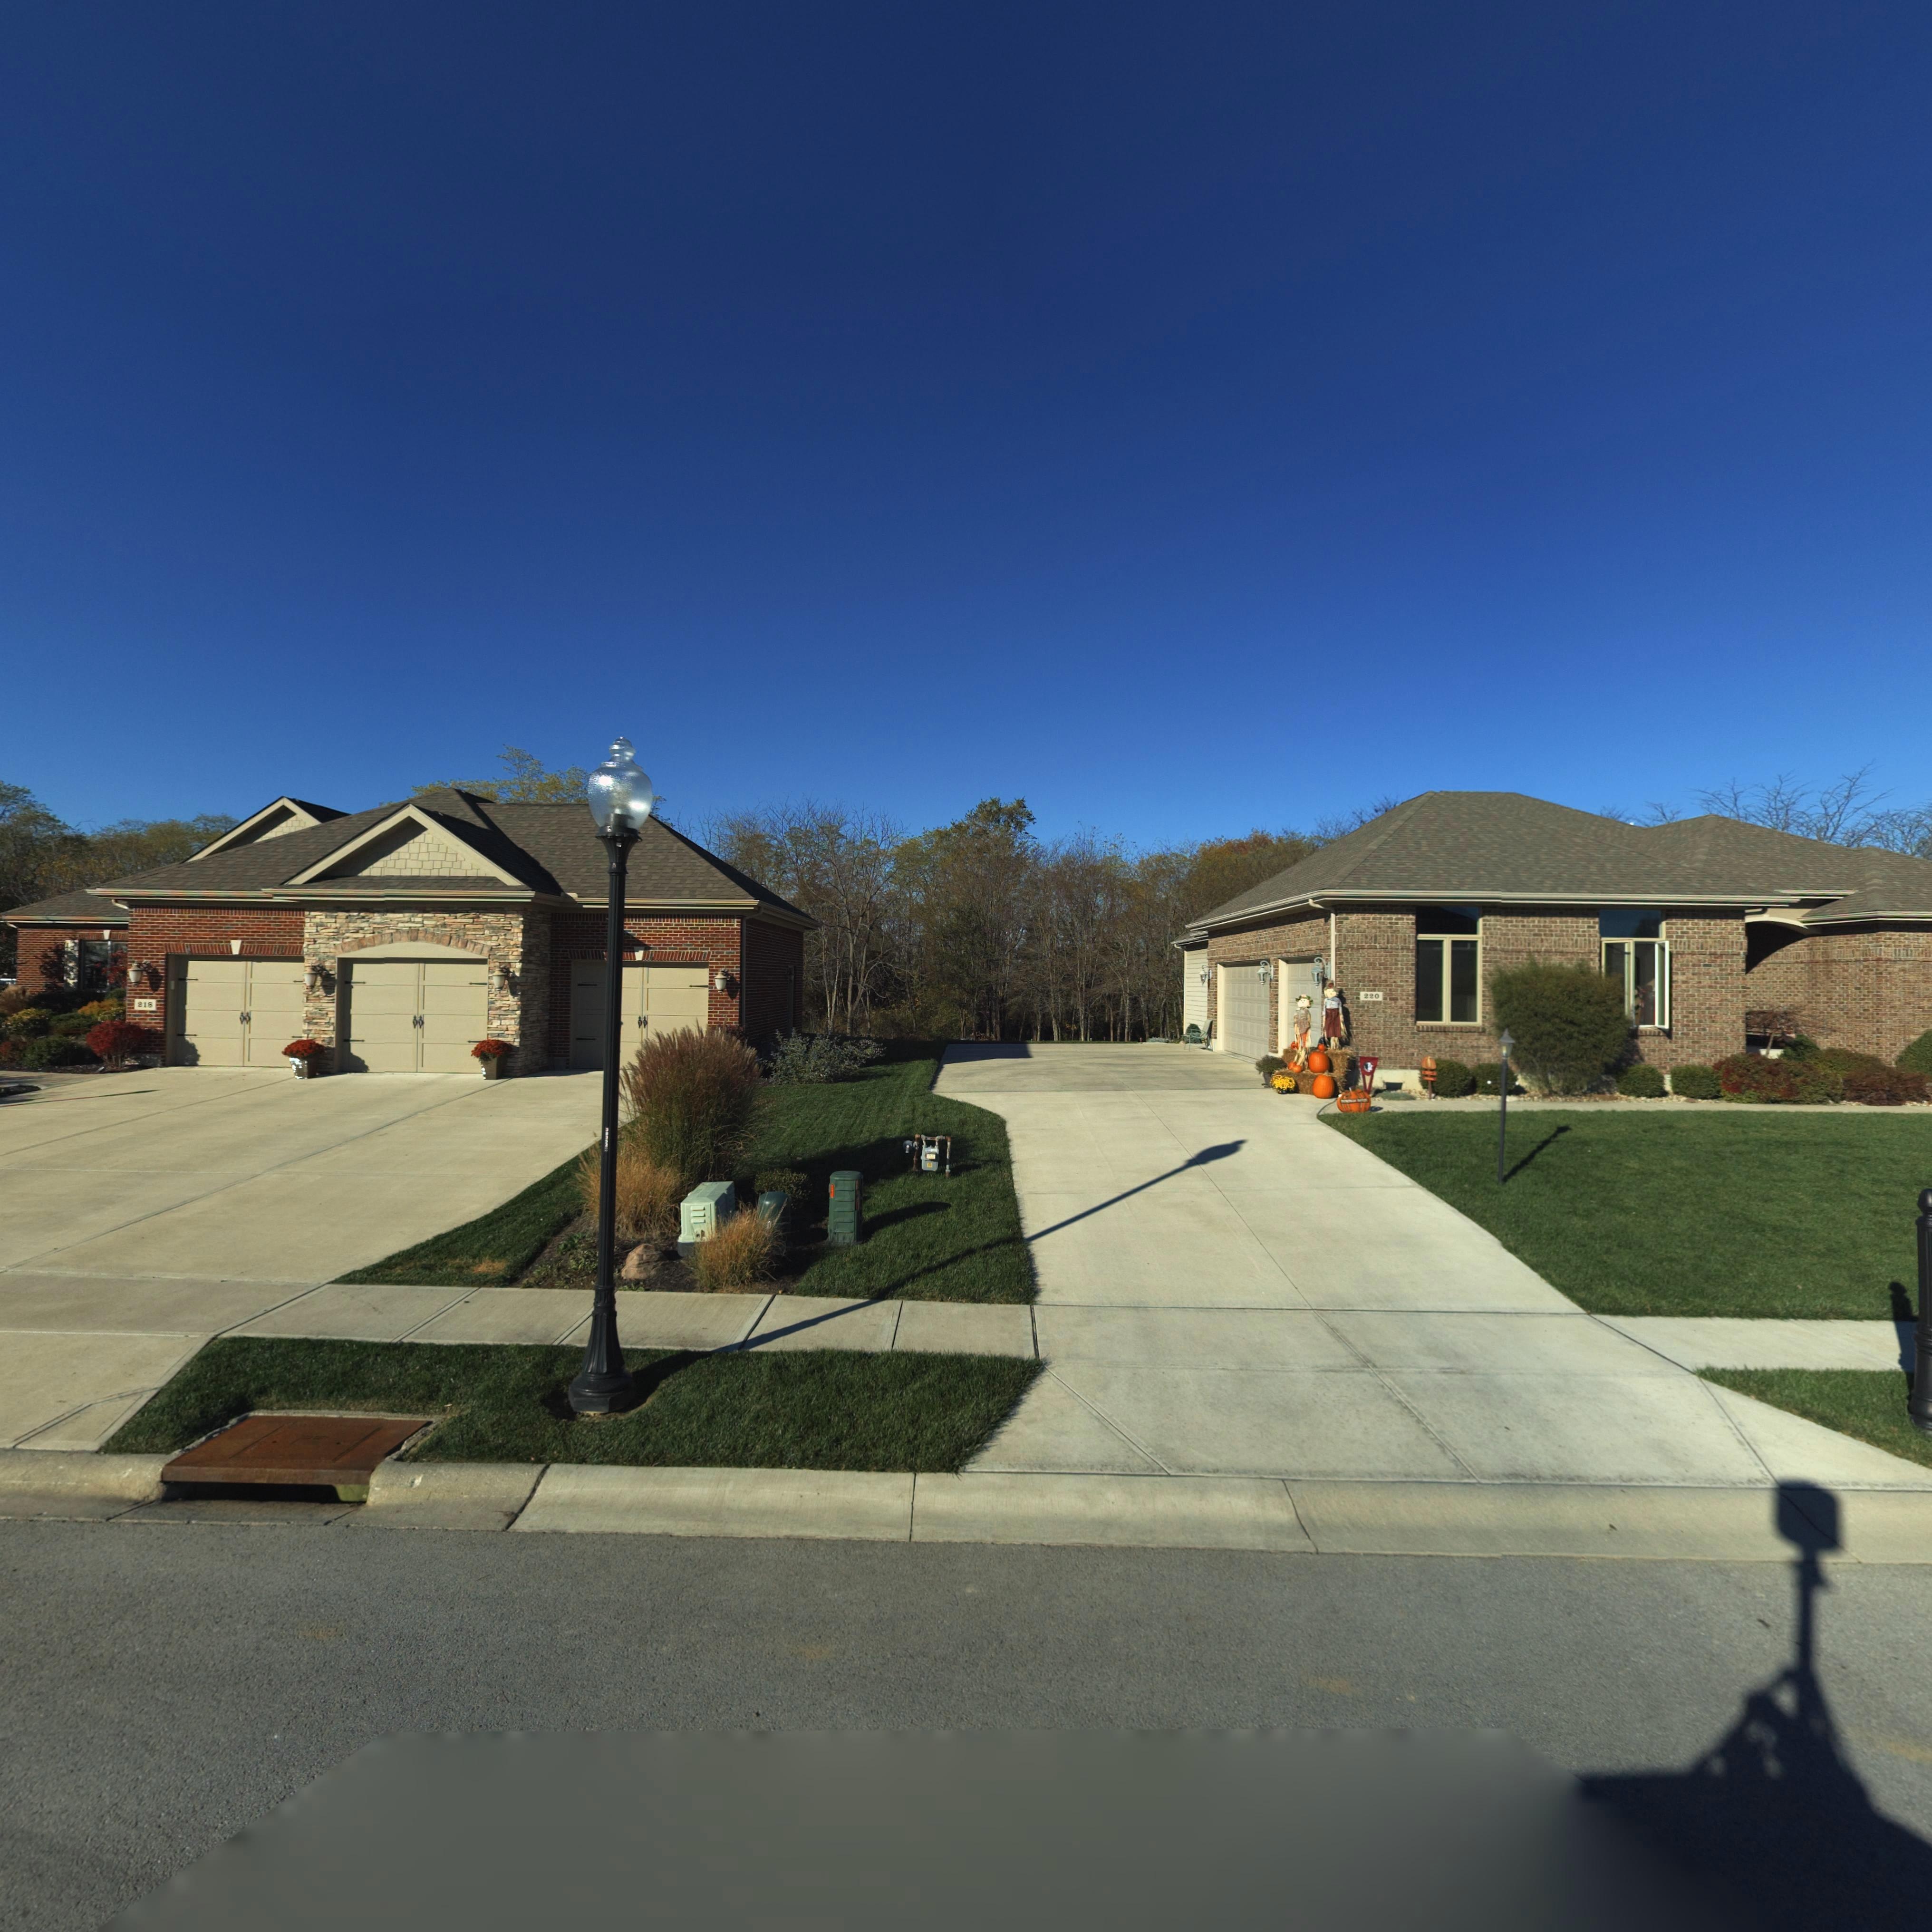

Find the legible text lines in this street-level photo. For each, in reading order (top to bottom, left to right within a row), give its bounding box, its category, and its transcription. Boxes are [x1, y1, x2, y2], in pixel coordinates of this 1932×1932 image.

[1363, 992, 1380, 1000] StreetNumber: 220
[136, 1001, 154, 1009] StreetNumber: 218